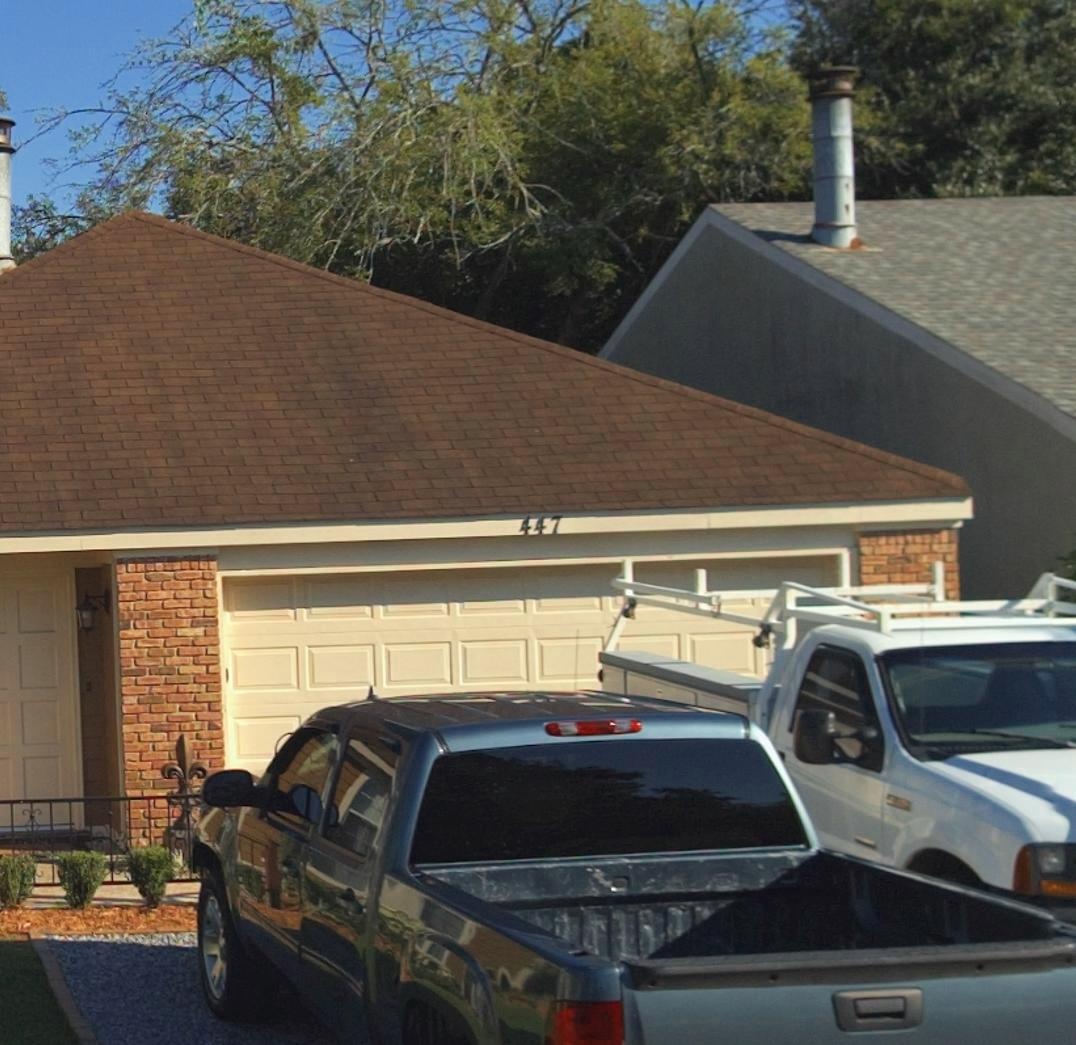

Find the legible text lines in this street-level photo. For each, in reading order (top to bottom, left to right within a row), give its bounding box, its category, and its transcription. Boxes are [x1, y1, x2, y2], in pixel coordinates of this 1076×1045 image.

[519, 515, 563, 535] StreetNumber: 447